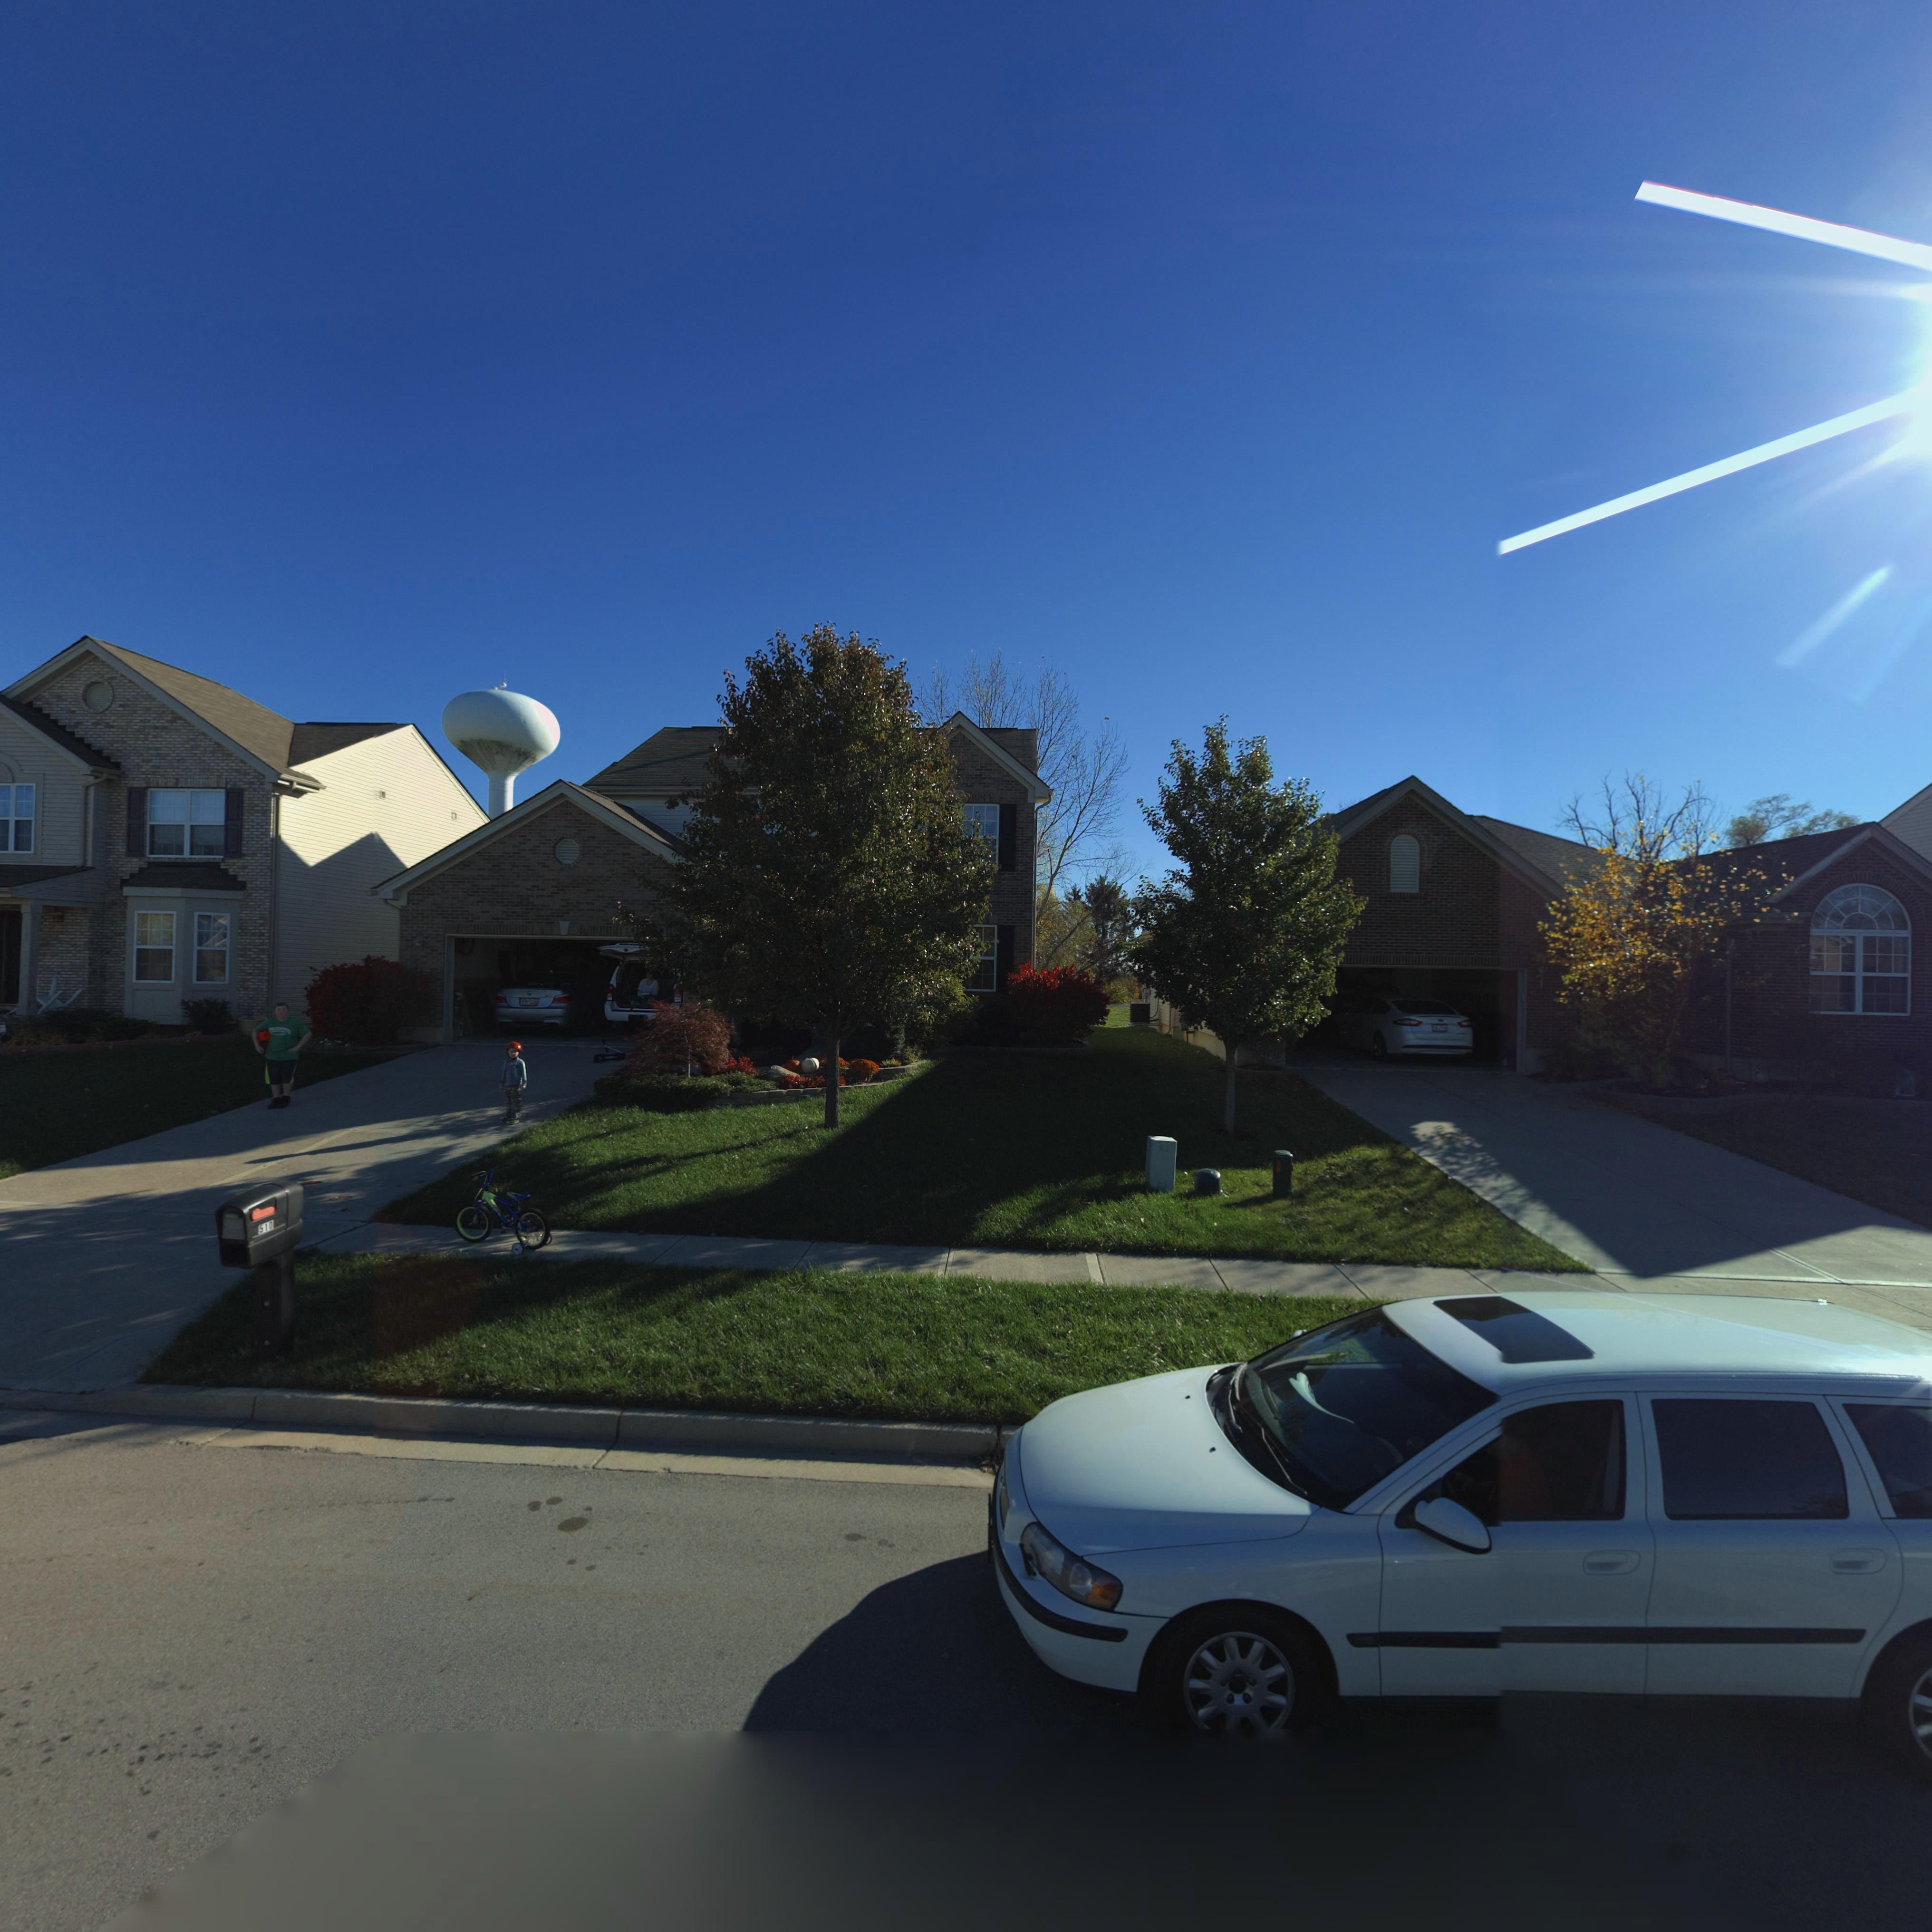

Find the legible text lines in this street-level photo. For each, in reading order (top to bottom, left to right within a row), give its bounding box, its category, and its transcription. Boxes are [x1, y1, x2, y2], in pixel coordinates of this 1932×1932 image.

[258, 1219, 274, 1235] StreetNumber: 510